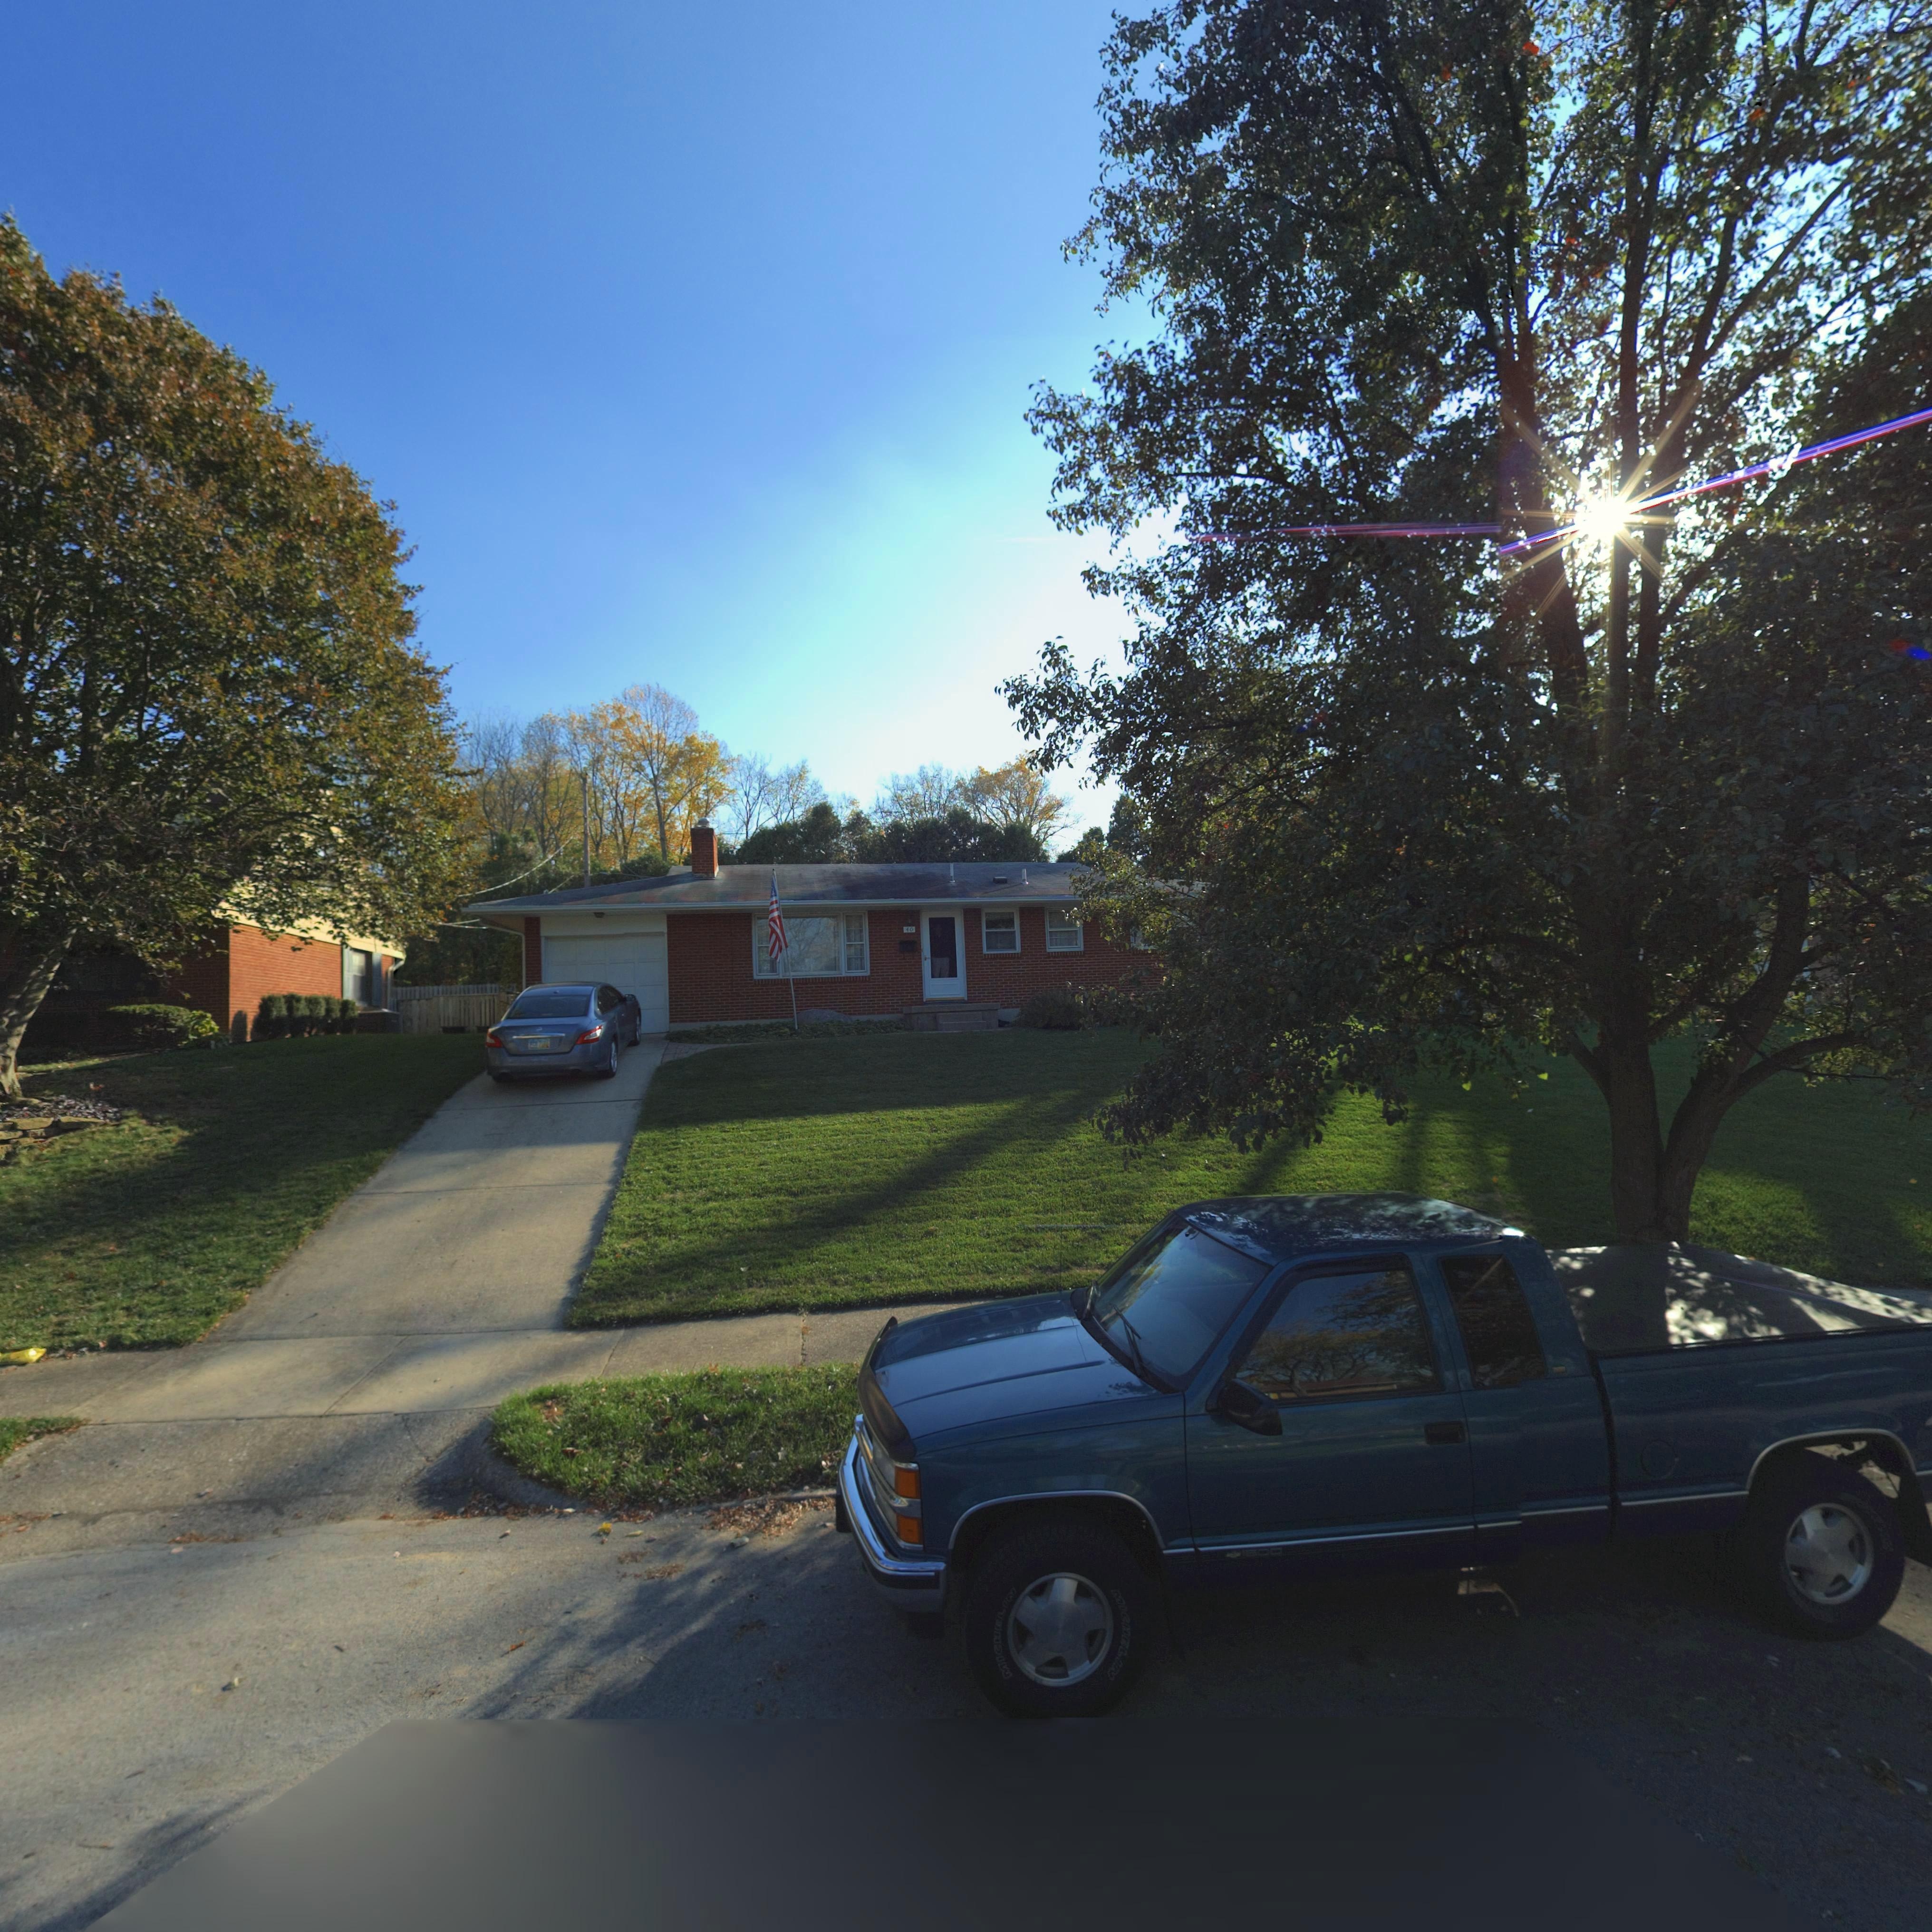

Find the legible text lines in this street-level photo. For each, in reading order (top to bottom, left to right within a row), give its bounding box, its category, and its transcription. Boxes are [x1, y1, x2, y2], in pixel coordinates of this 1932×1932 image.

[906, 927, 914, 932] StreetNumber: 40